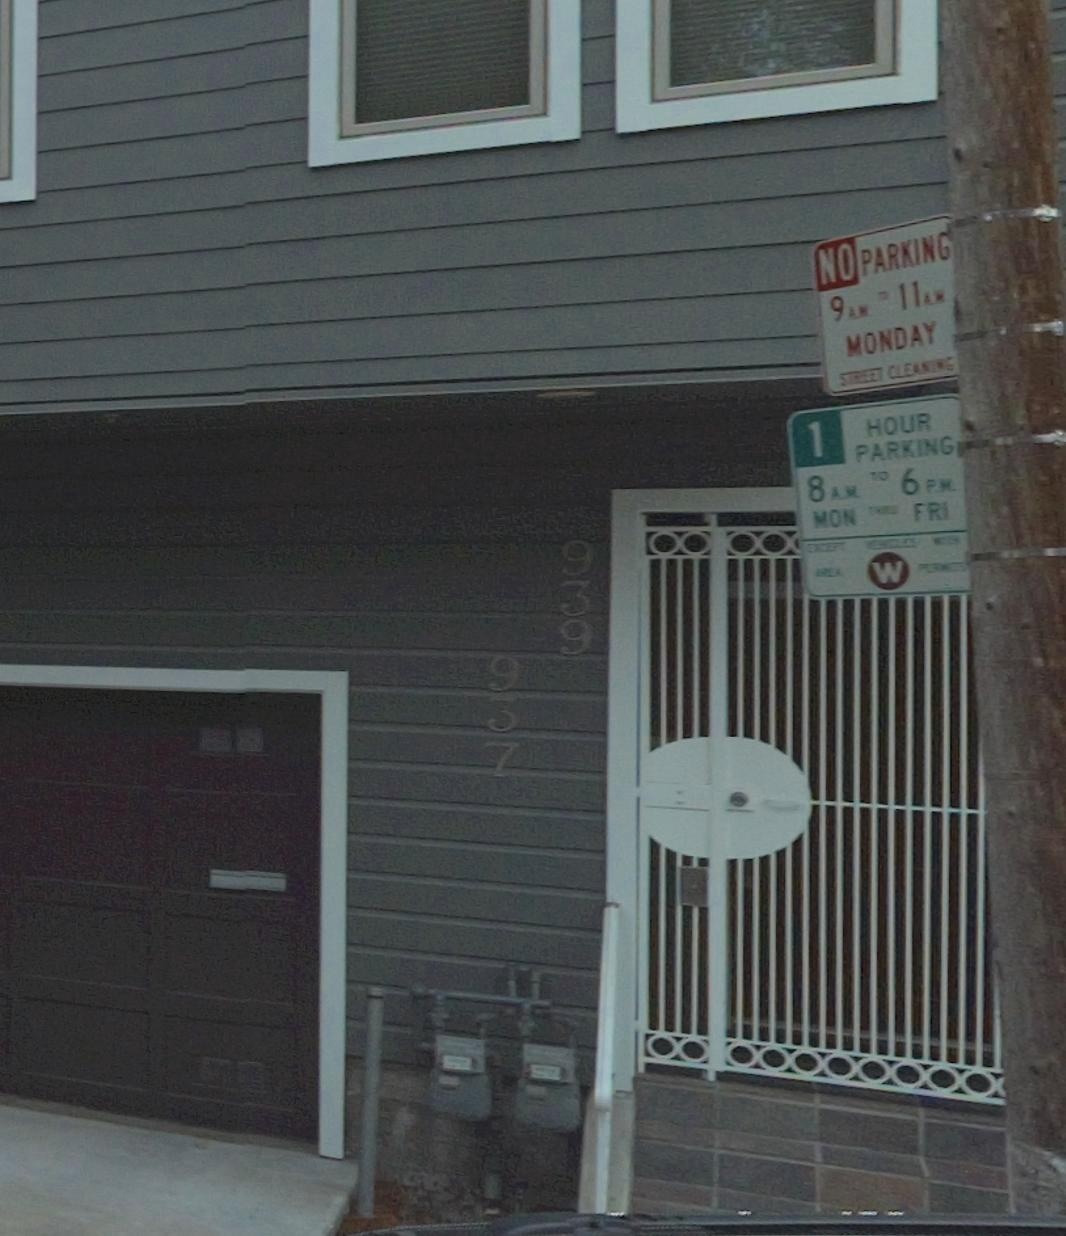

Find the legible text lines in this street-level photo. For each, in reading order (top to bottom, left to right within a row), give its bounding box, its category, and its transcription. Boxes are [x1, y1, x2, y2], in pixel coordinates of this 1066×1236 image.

[816, 229, 953, 288] None: NO PARKING
[829, 293, 871, 325] None: 9AM
[897, 277, 948, 313] None: 11AM
[844, 318, 939, 360] None: MONDAY
[837, 354, 956, 390] None: STREET CLEANING
[804, 419, 824, 460] None: 1
[864, 411, 932, 440] None: HOUR
[853, 433, 956, 466] None: PARKING
[805, 473, 860, 506] None: 8AM
[900, 465, 959, 498] None: 6P.M.
[812, 505, 857, 531] None: MON
[912, 499, 952, 525] None: FRI
[870, 559, 906, 587] None: W
[556, 536, 595, 657] StreetNumber: 939
[482, 650, 521, 780] StreetNumber: 937